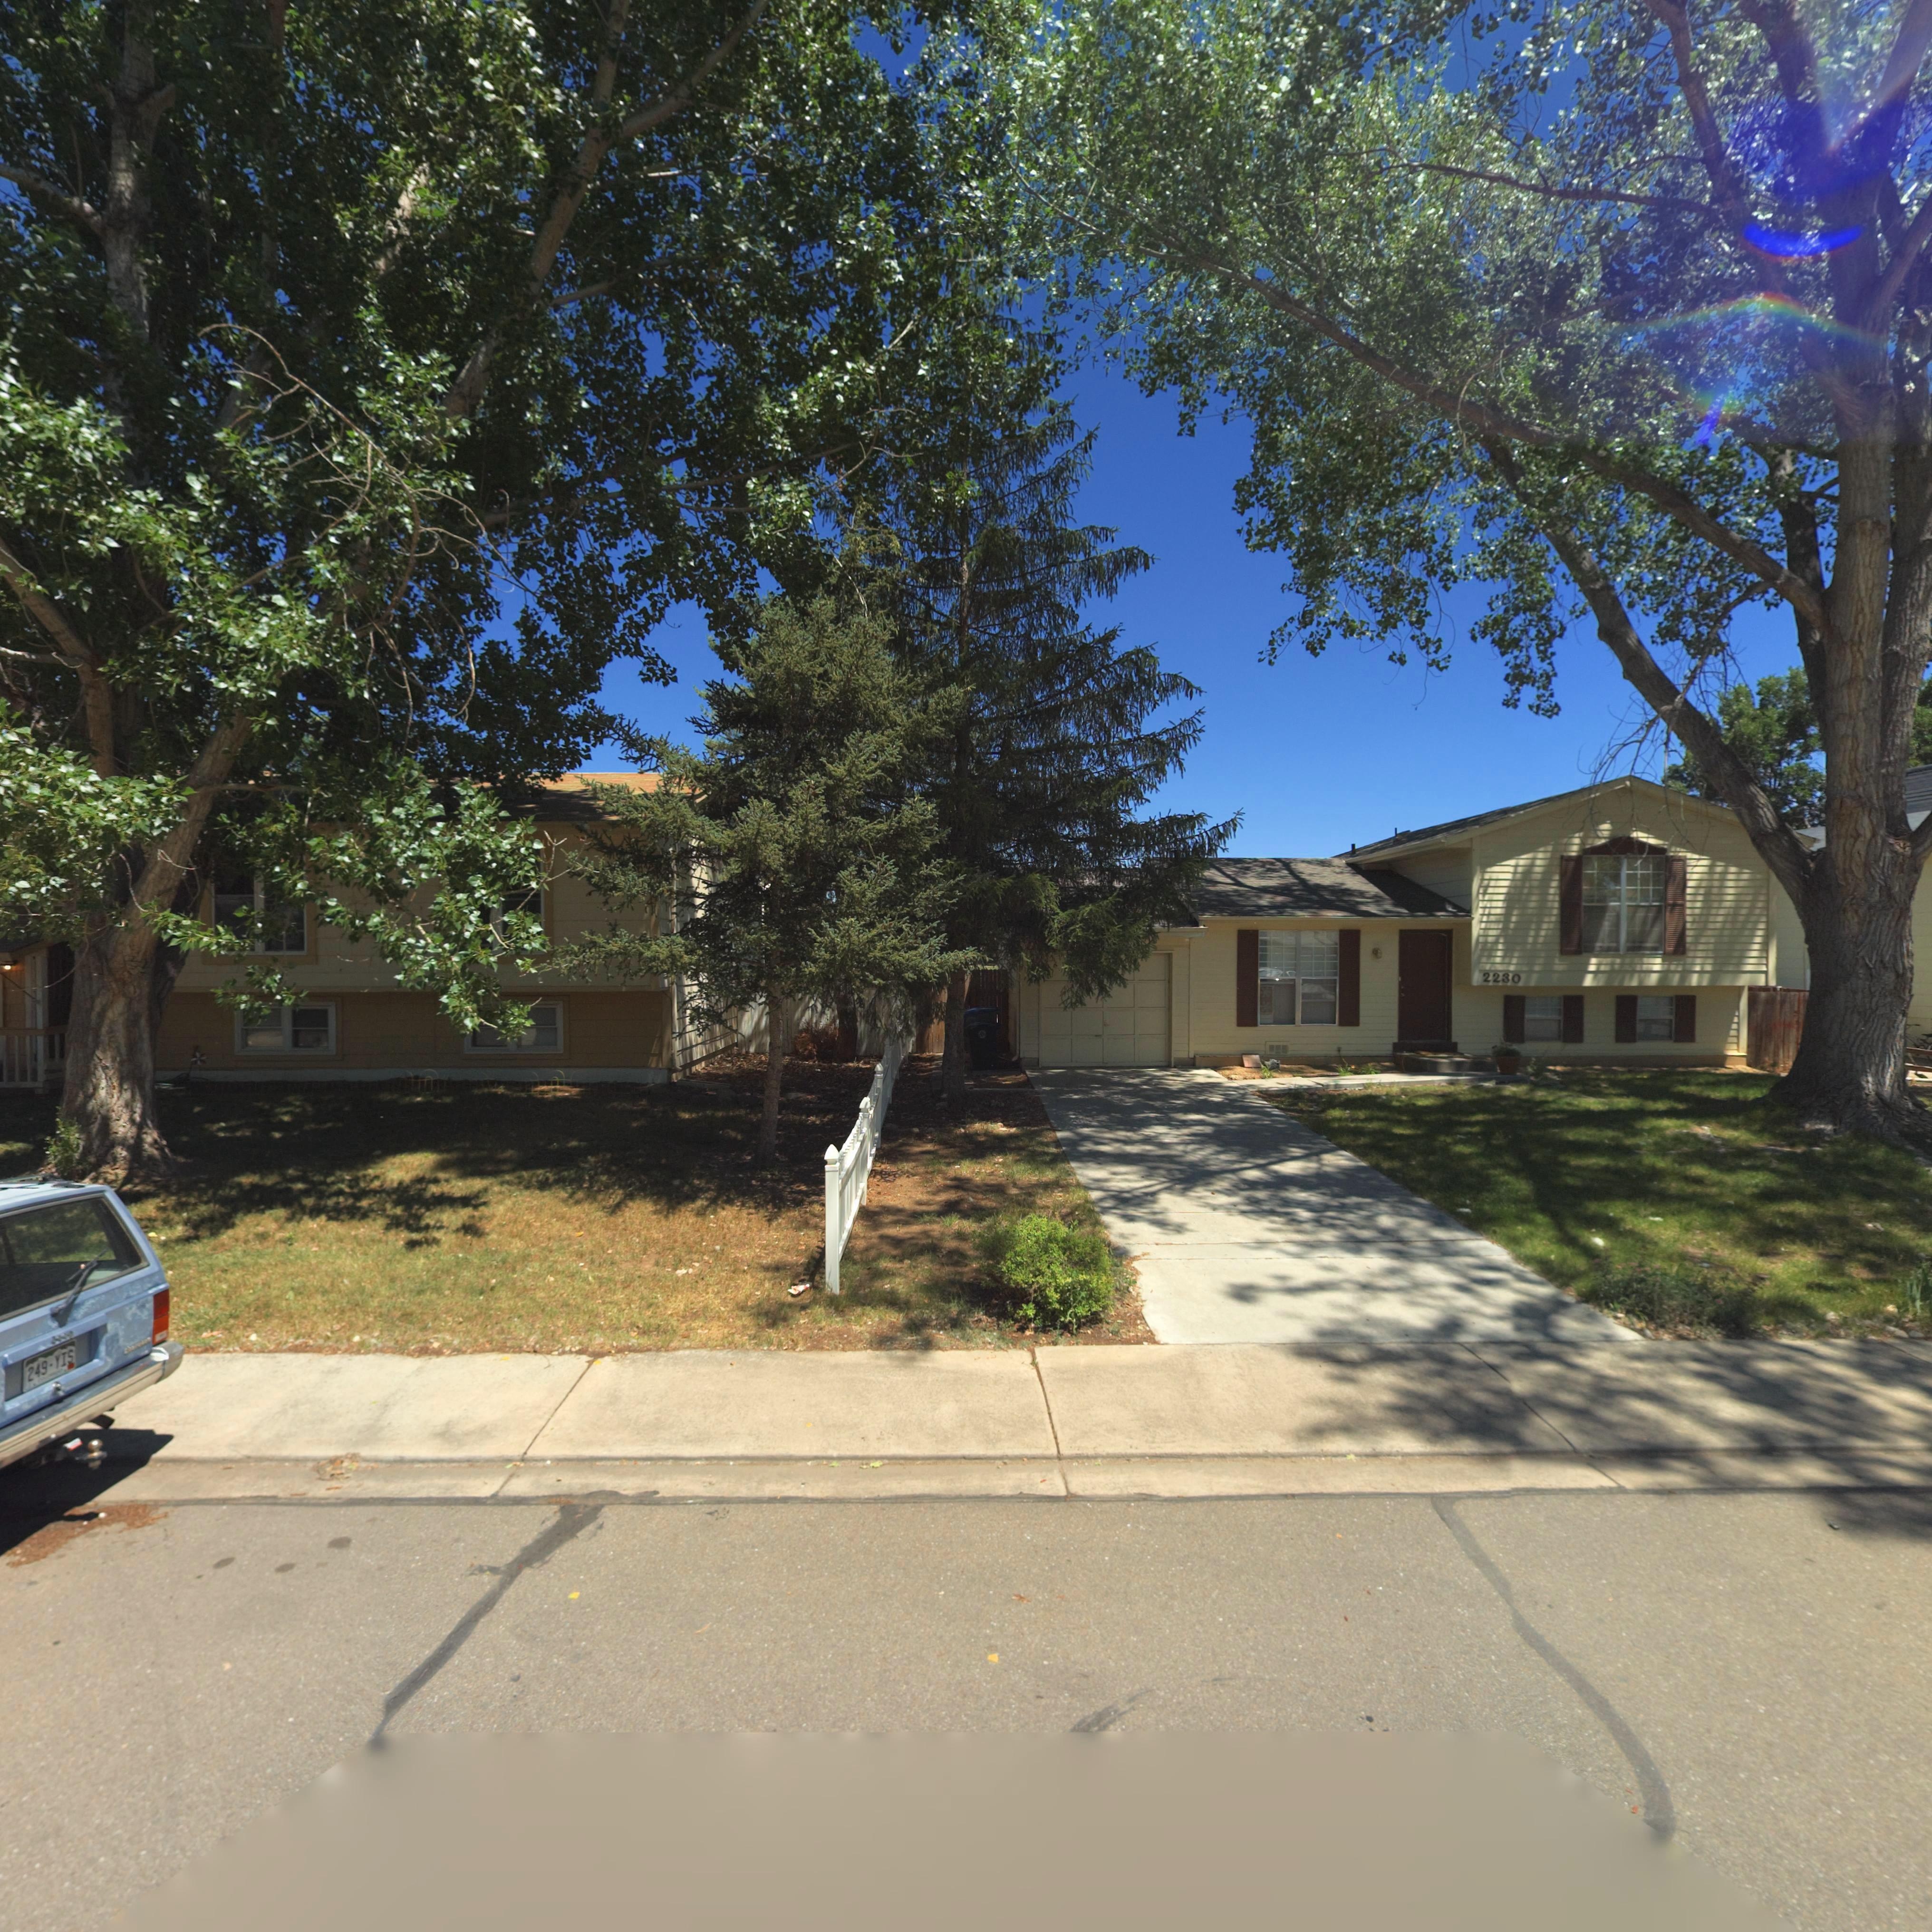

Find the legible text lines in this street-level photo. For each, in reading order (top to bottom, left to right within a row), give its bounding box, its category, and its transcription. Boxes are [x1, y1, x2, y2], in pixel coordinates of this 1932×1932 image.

[1483, 971, 1521, 984] StreetNumber: 2230